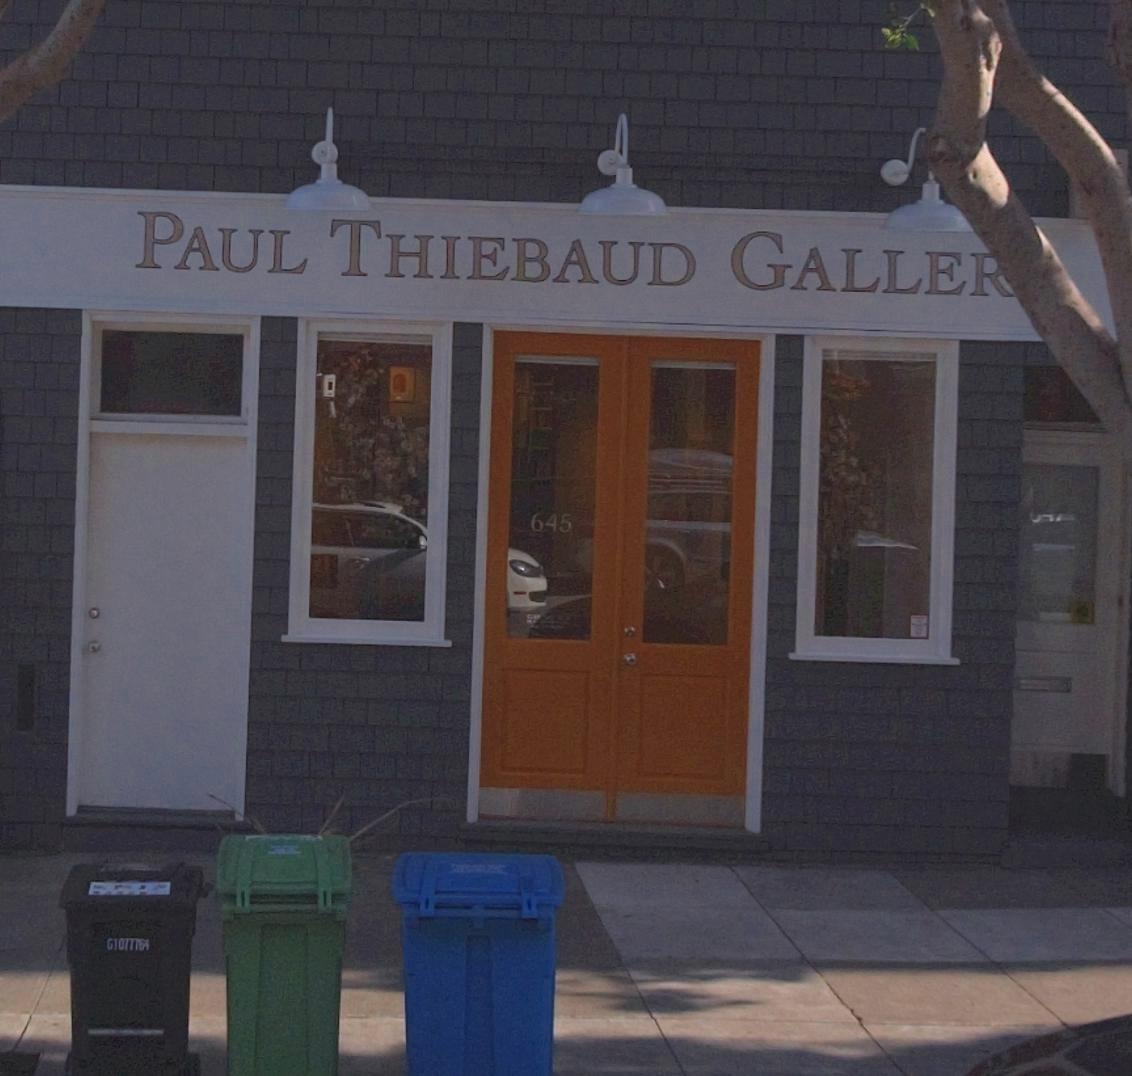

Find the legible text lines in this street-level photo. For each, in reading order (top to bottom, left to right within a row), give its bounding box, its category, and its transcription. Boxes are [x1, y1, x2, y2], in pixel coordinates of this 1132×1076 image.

[132, 207, 1016, 302] BusinessName: PAUL THIEBAUD GALLER
[525, 505, 576, 536] StreetNumber: 645
[104, 935, 151, 952] None: G10777*A